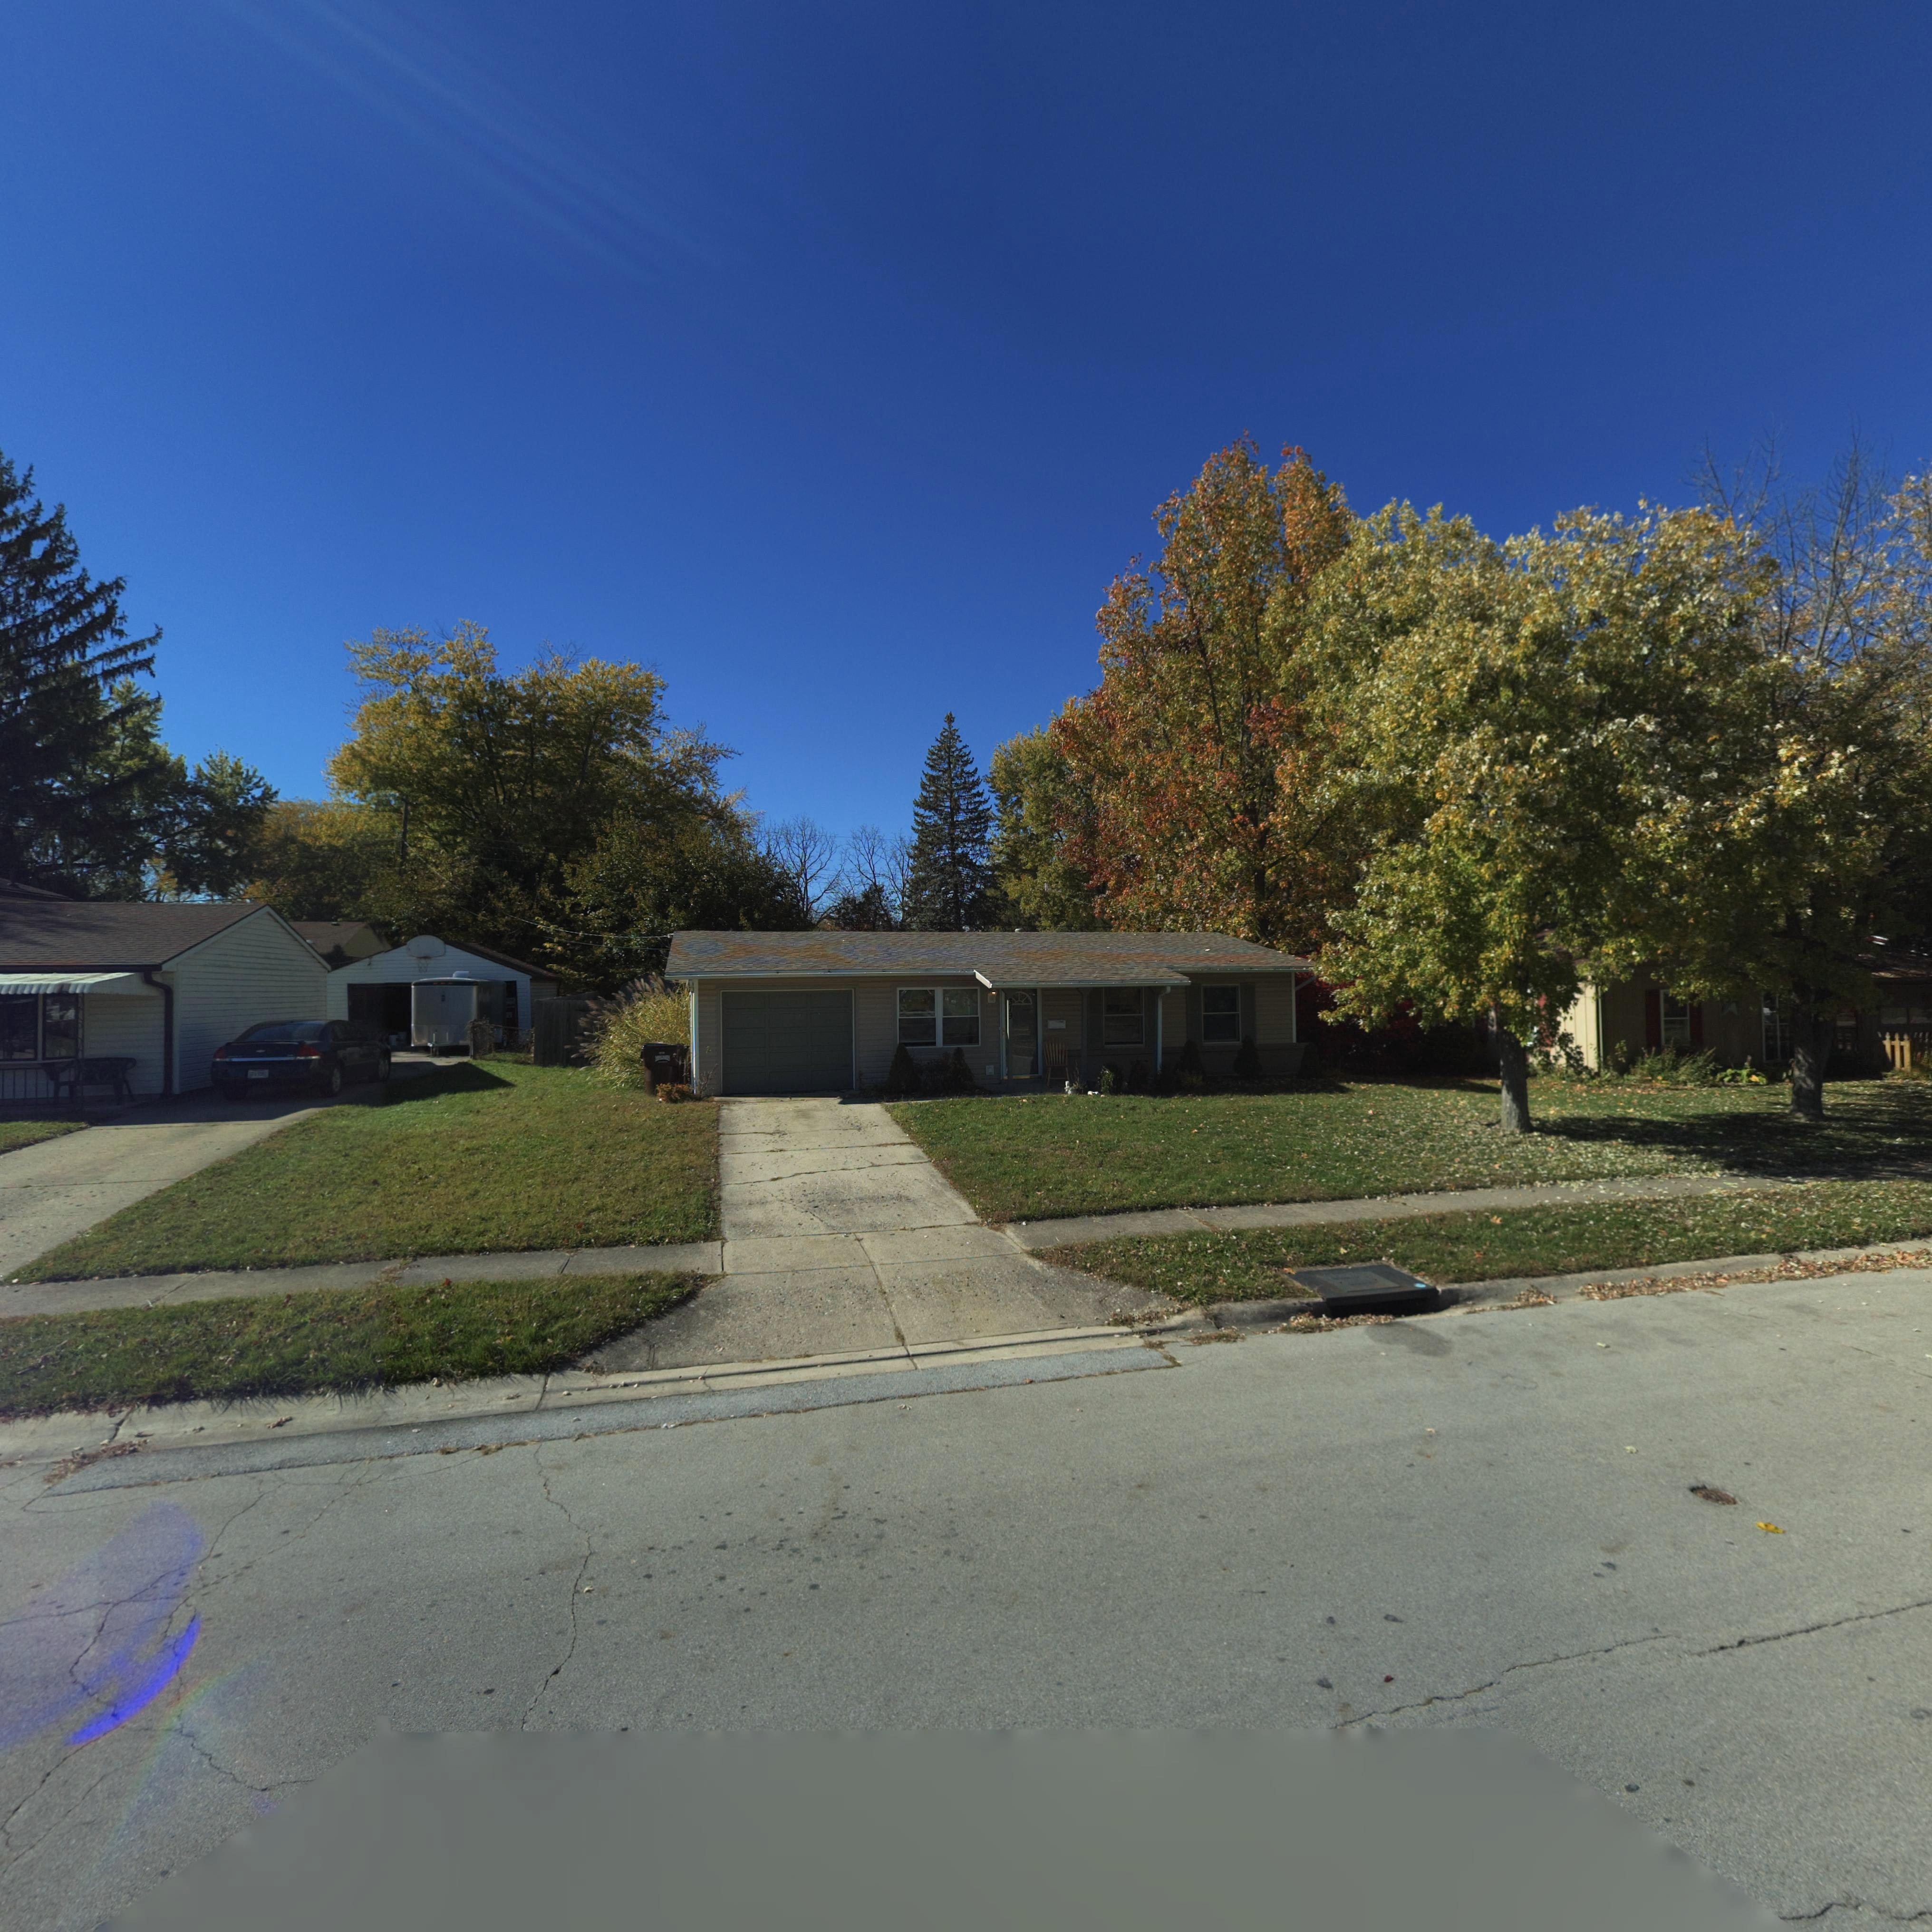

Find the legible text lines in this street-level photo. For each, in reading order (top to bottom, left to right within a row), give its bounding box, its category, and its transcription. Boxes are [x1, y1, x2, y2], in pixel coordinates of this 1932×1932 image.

[1008, 997, 1014, 1020] StreetNumber: 319